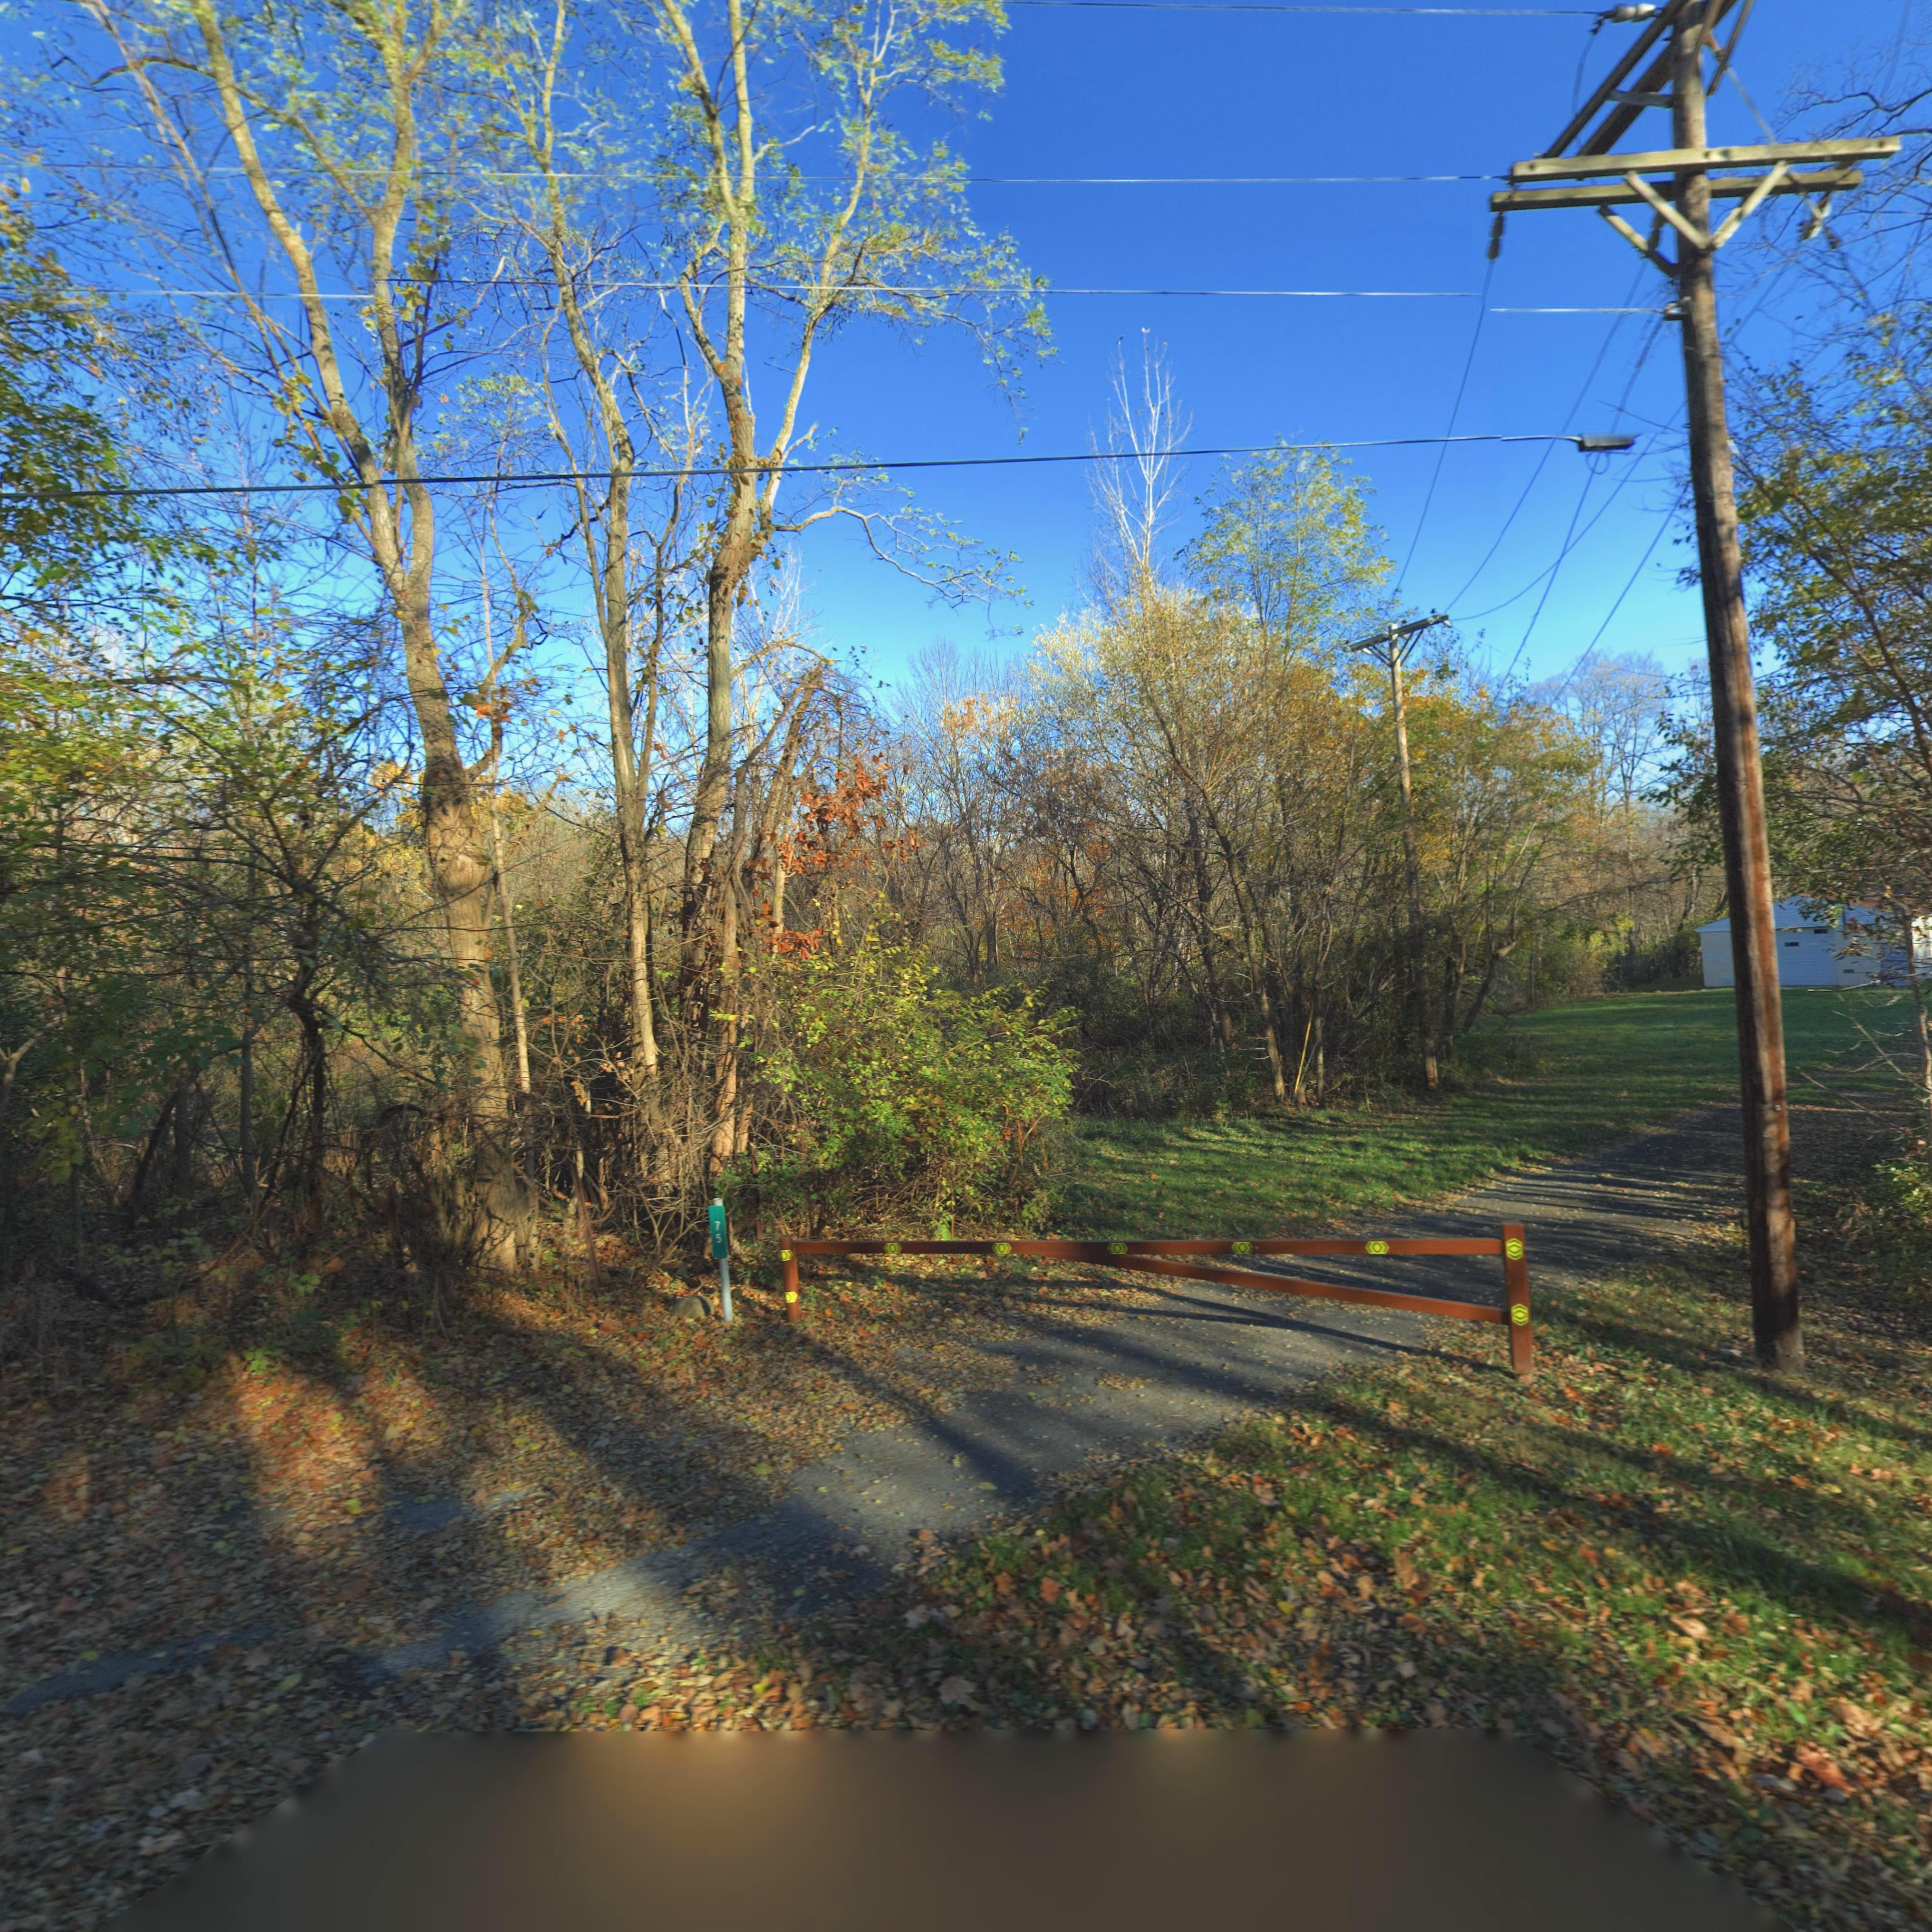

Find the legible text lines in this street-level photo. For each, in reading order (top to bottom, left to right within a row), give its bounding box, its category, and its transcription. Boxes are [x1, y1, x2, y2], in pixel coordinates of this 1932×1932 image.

[713, 1220, 724, 1245] StreetNumber: 75